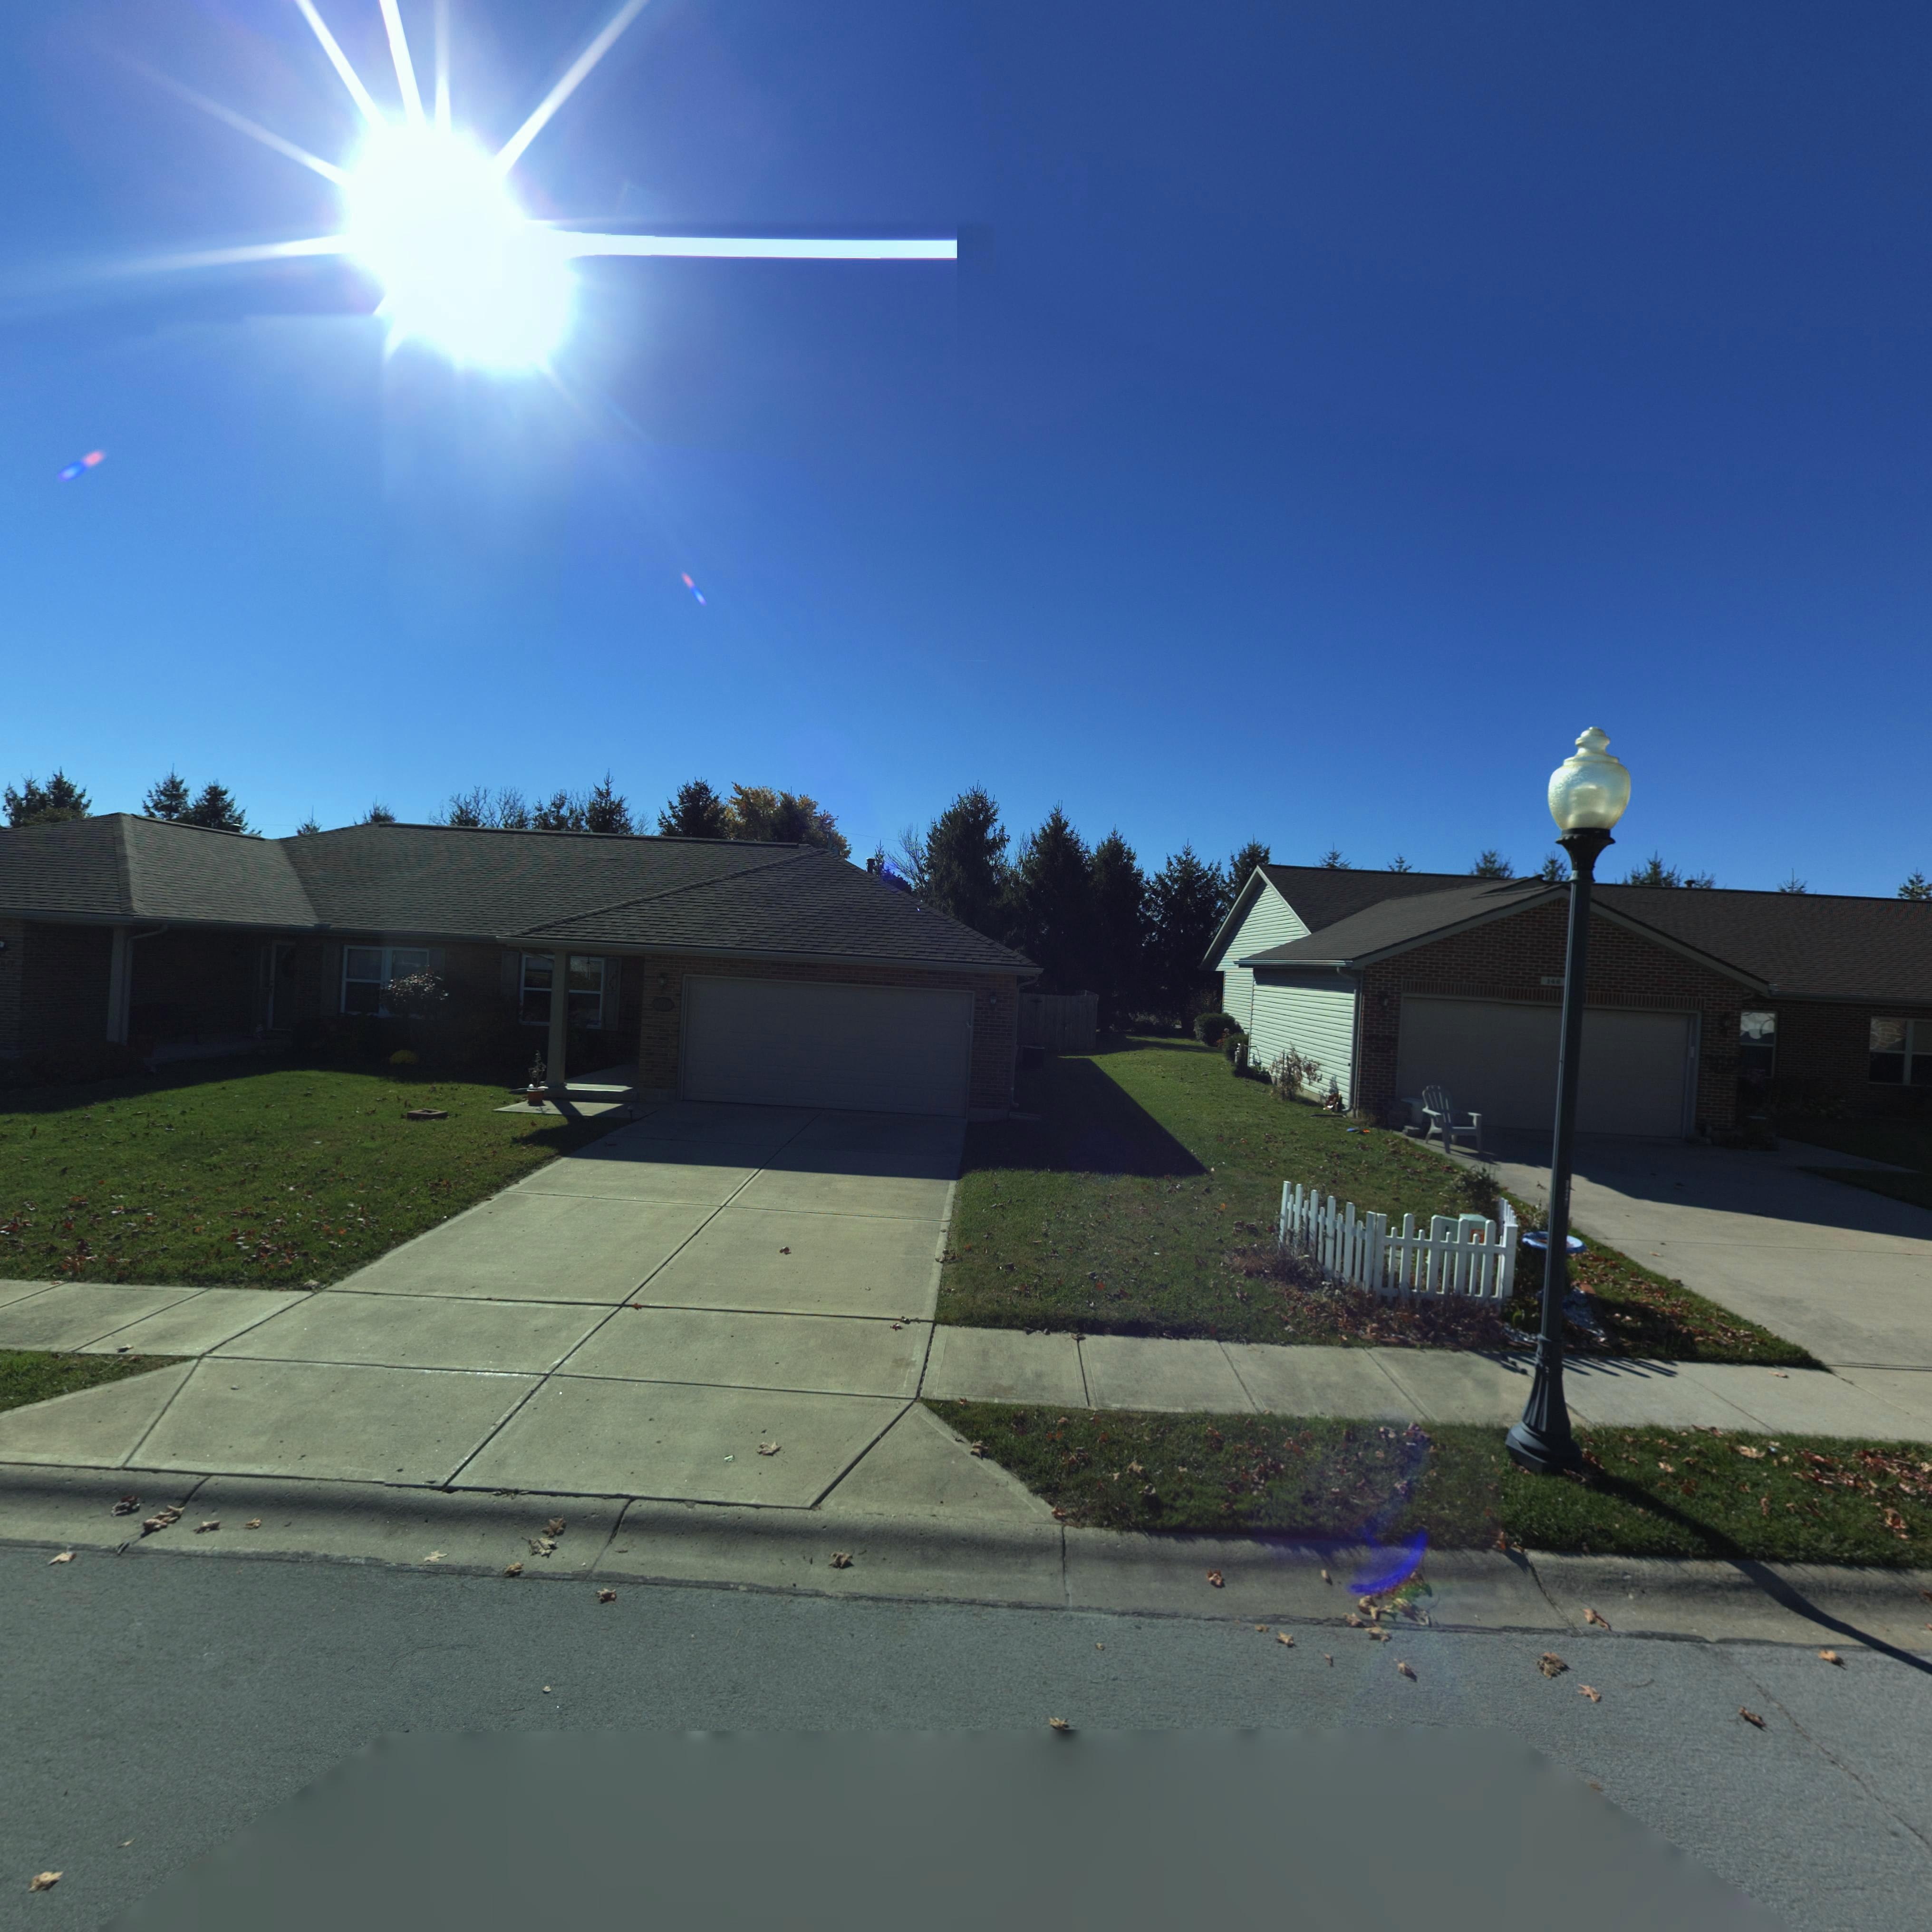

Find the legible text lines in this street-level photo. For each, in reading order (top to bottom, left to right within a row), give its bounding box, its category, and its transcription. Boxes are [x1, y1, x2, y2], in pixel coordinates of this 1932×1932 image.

[1546, 977, 1561, 985] StreetNumber: 14*